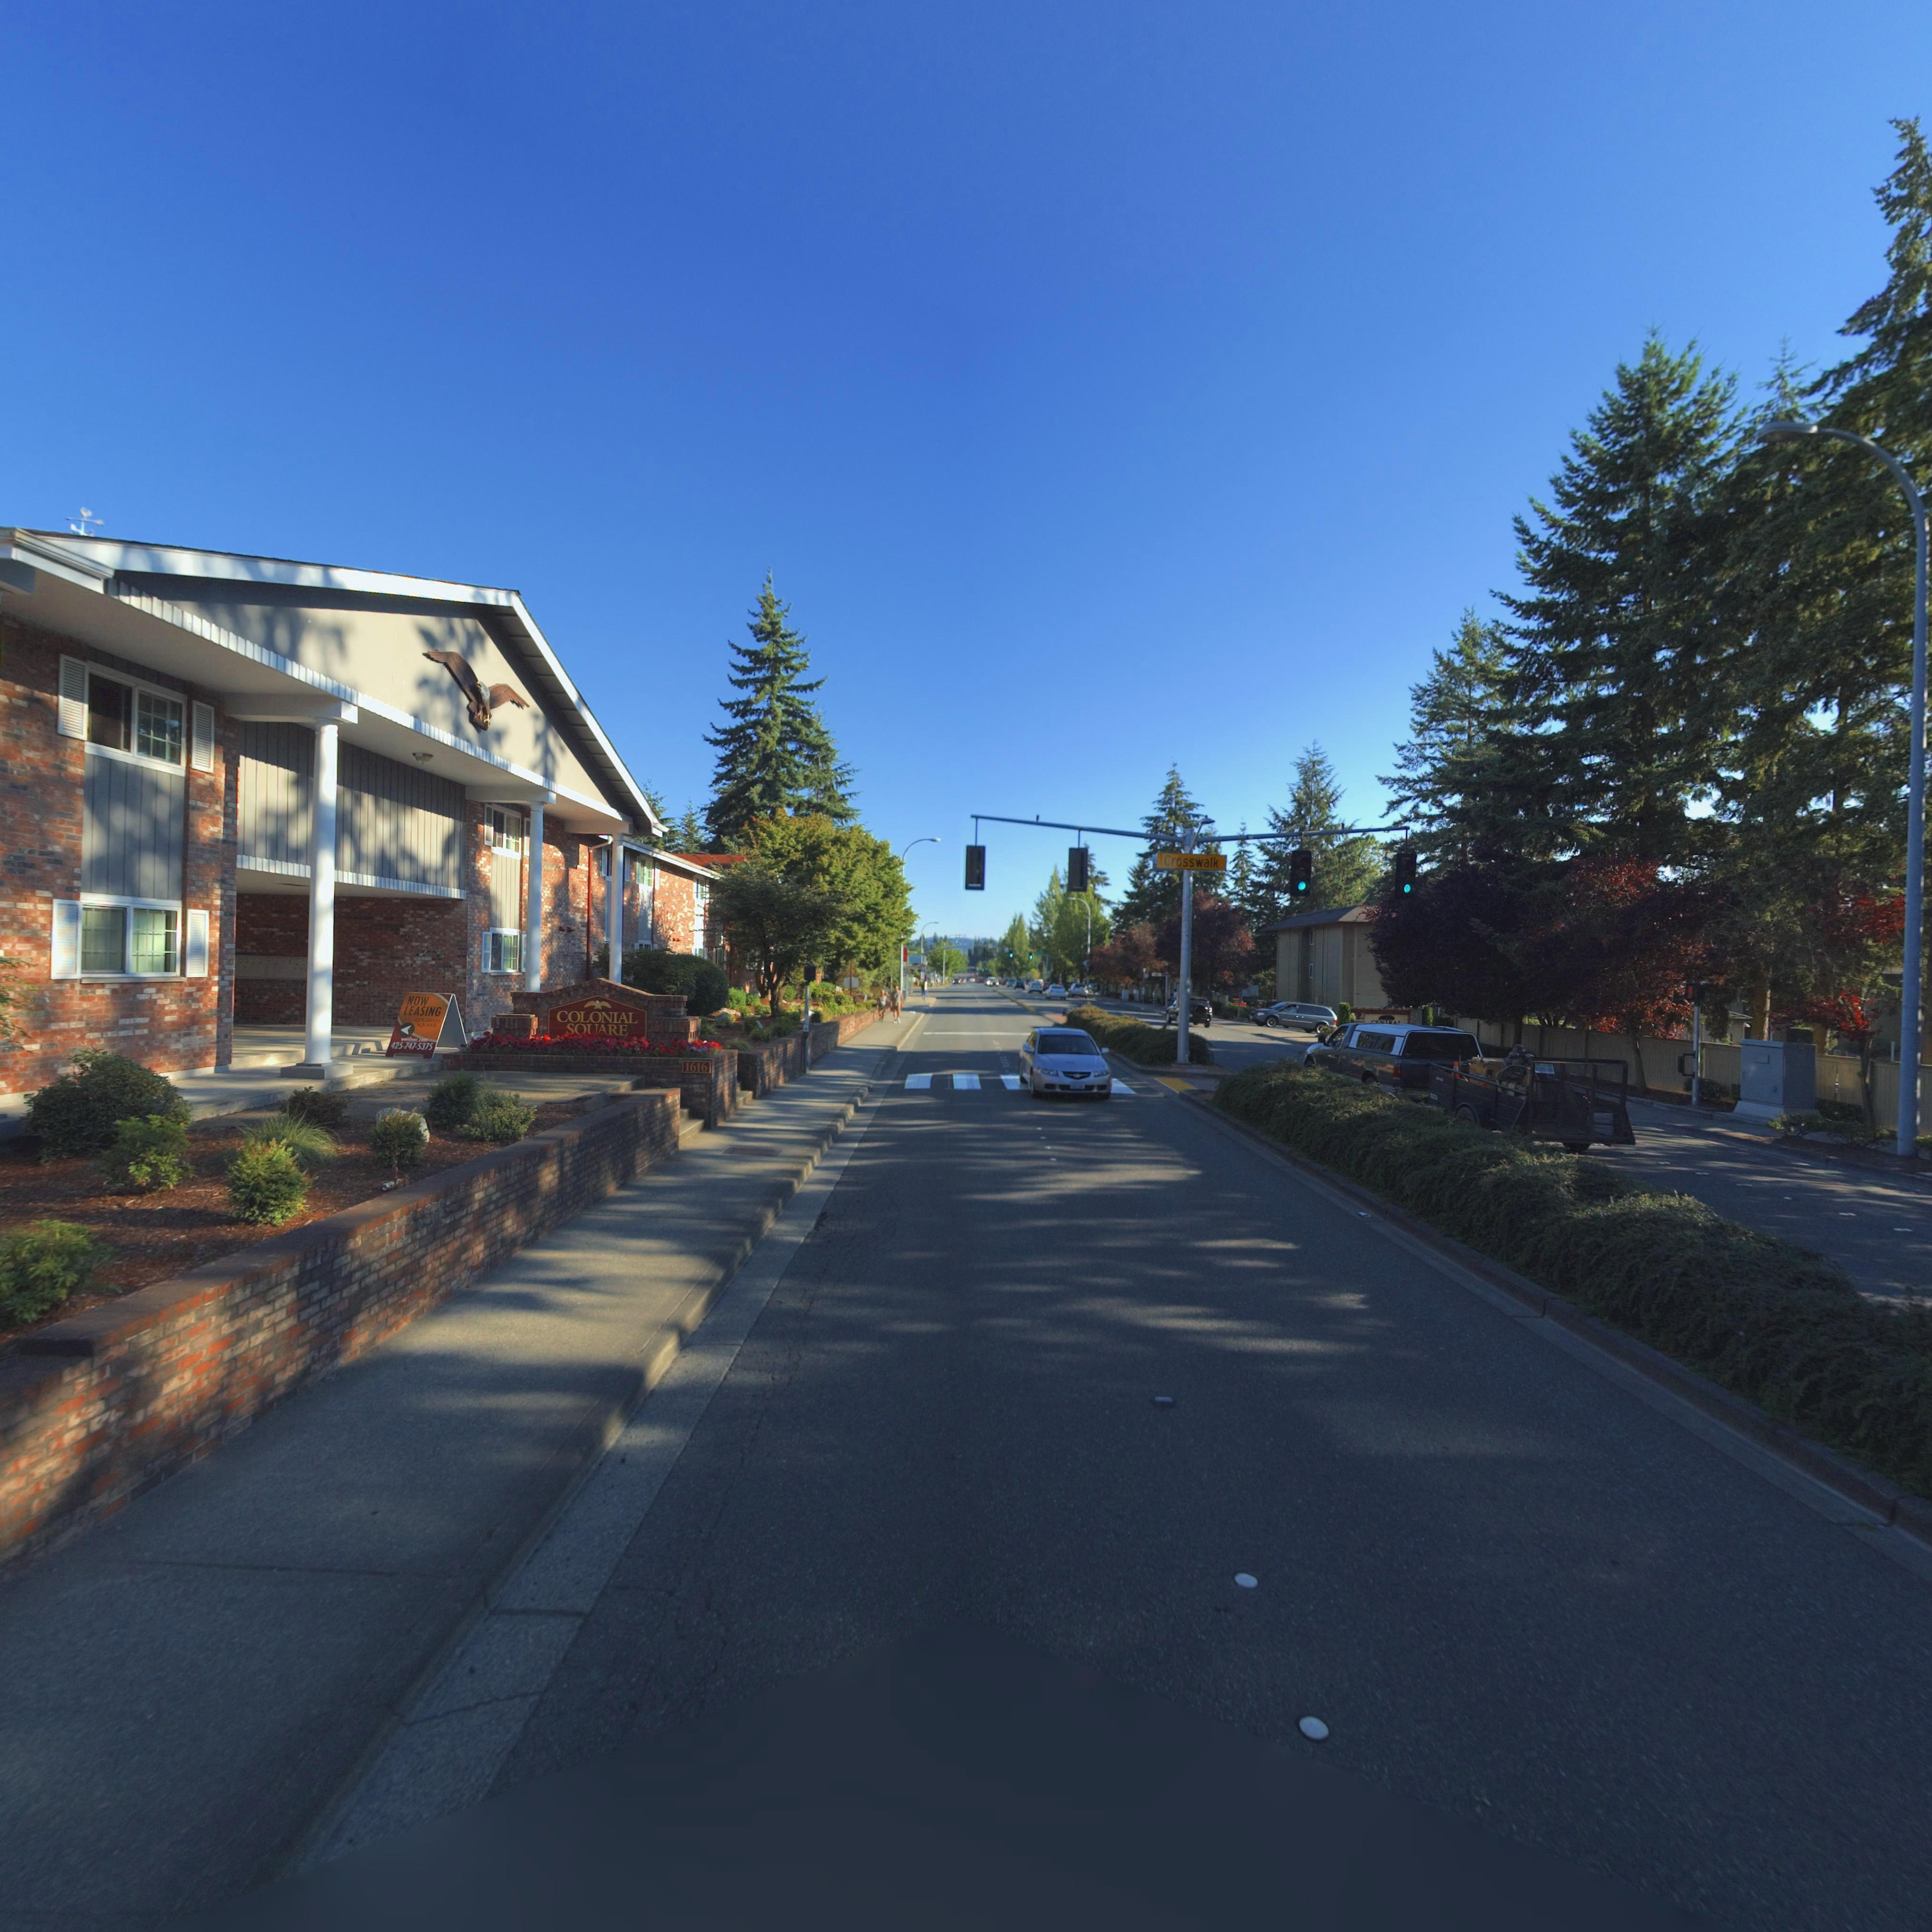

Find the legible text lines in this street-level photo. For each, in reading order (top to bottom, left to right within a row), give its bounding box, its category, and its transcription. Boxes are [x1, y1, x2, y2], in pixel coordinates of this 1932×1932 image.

[685, 1061, 708, 1072] StreetNumber: 1616